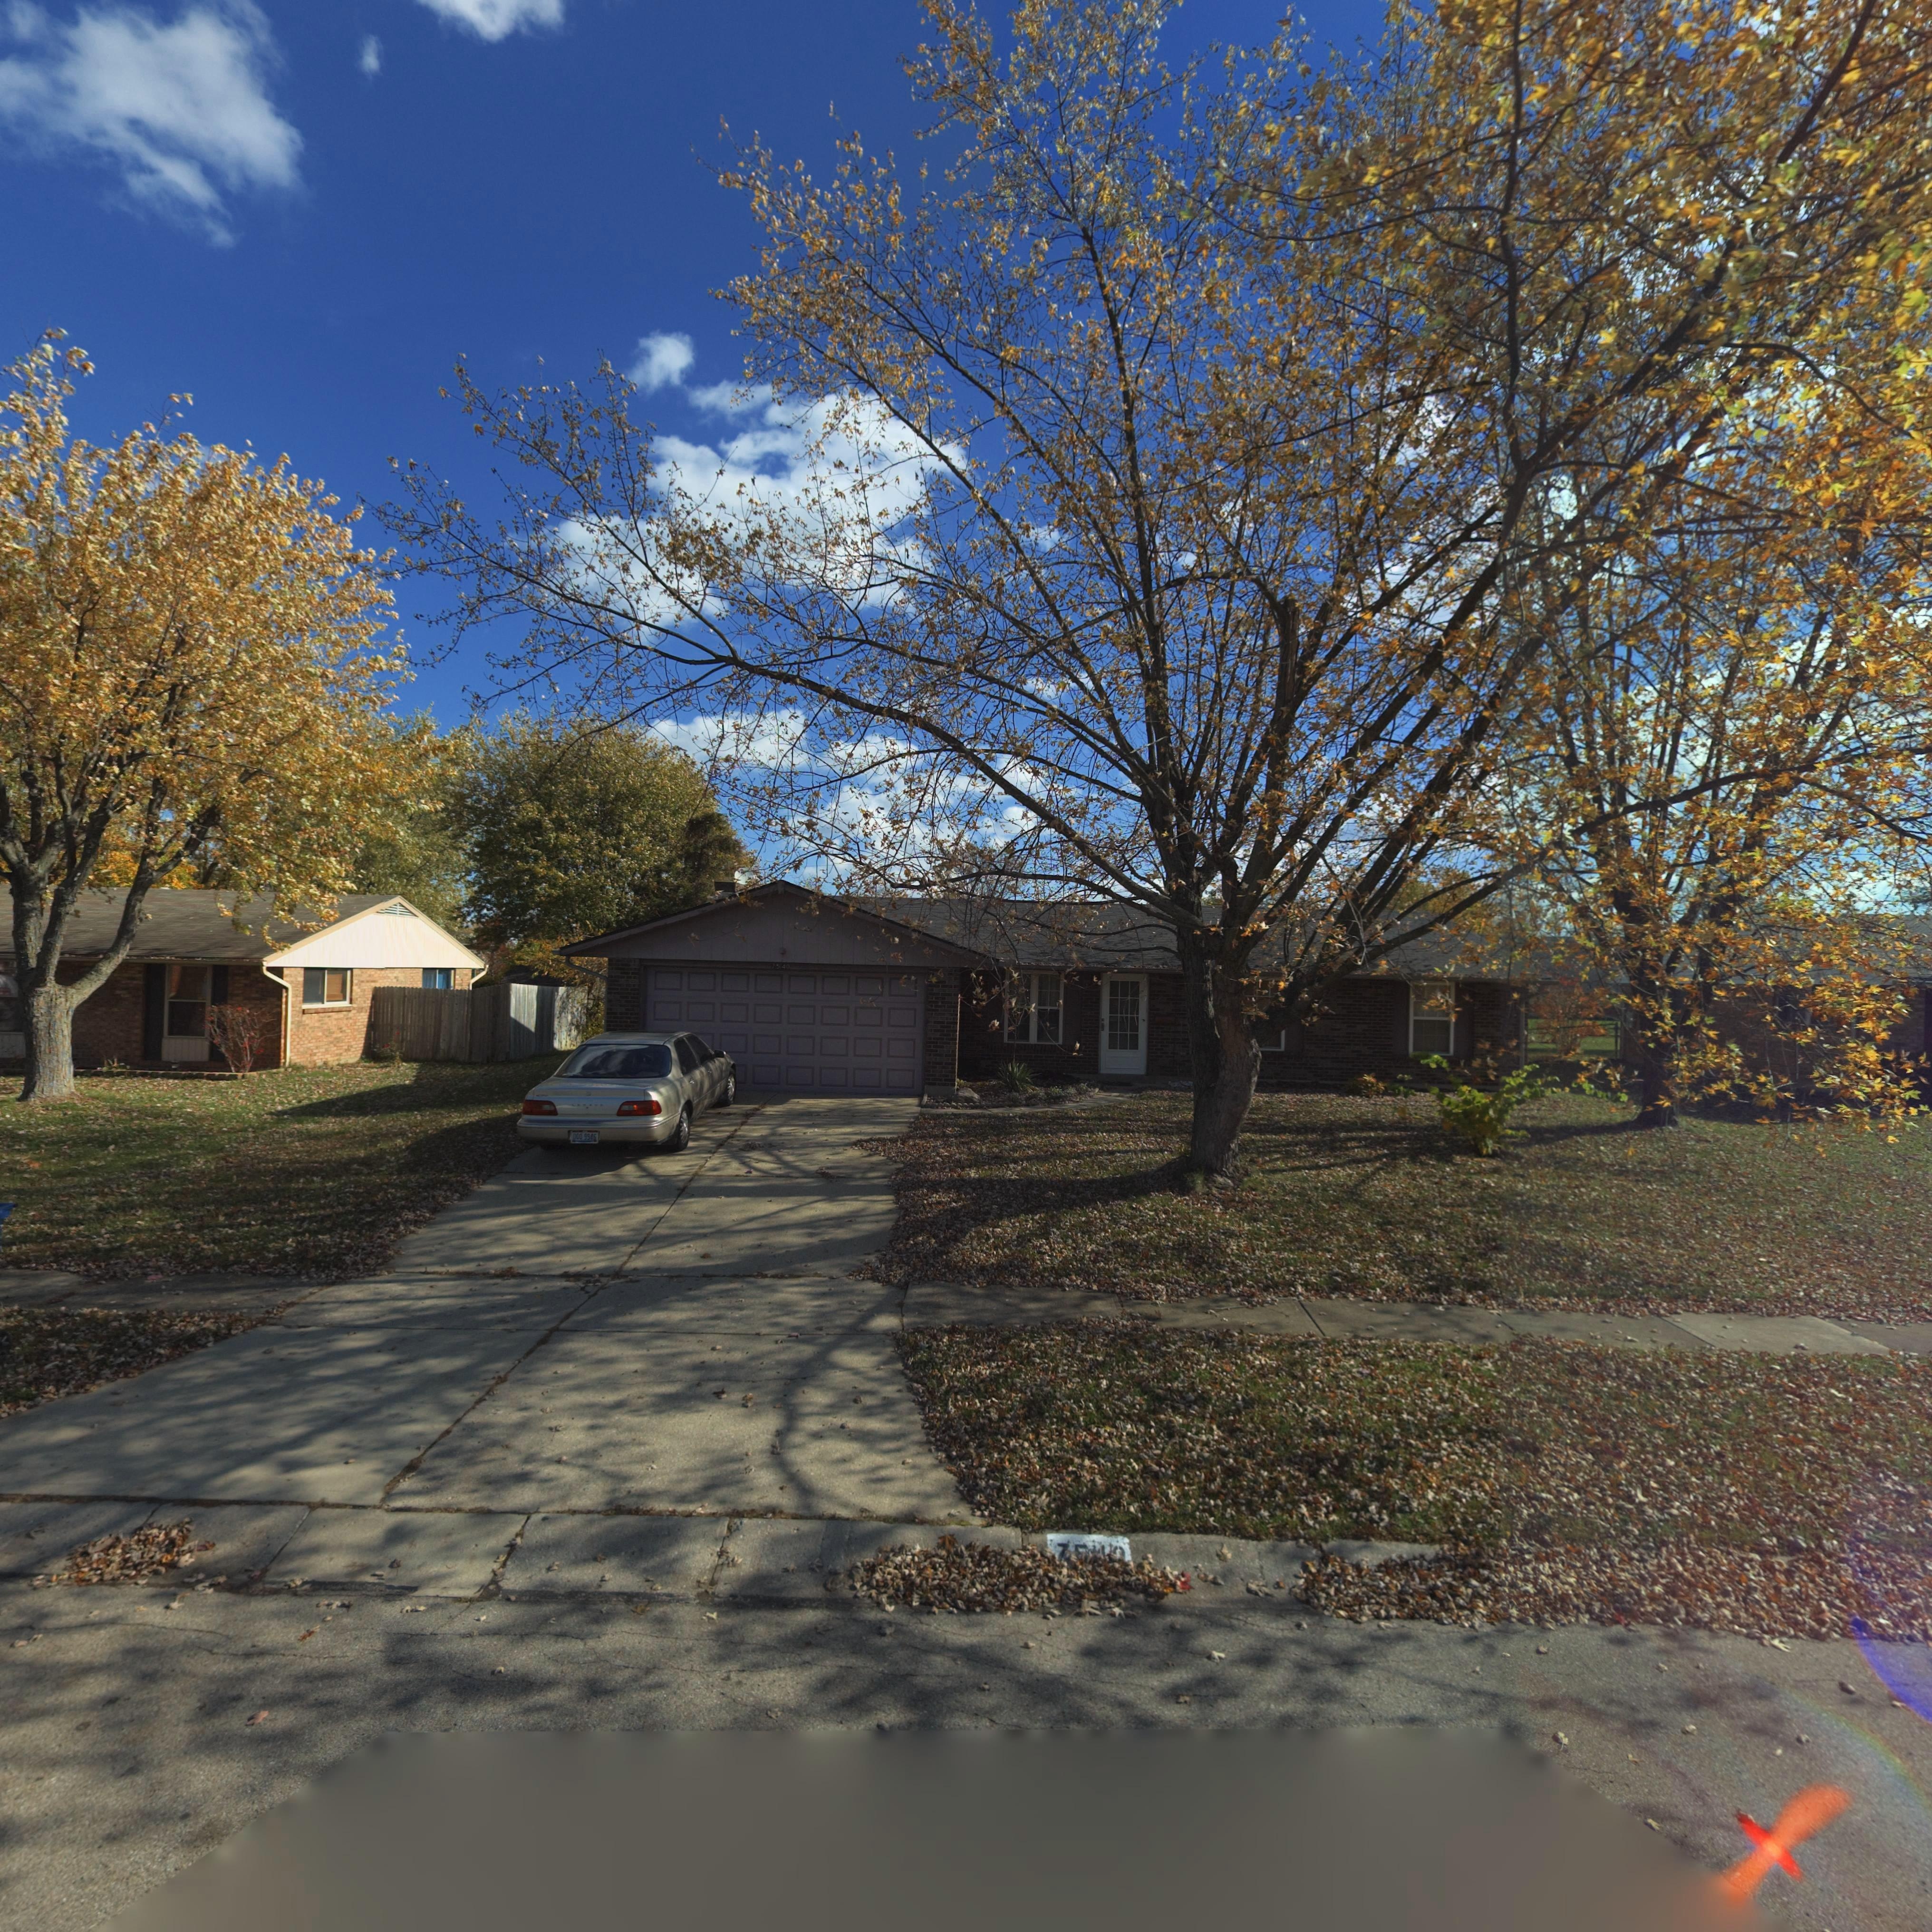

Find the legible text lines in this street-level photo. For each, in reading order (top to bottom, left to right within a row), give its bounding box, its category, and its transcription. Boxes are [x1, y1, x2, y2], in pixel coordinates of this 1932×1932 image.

[771, 963, 791, 970] StreetNumber: 7540
[1056, 1541, 1072, 1559] StreetNumber: 7